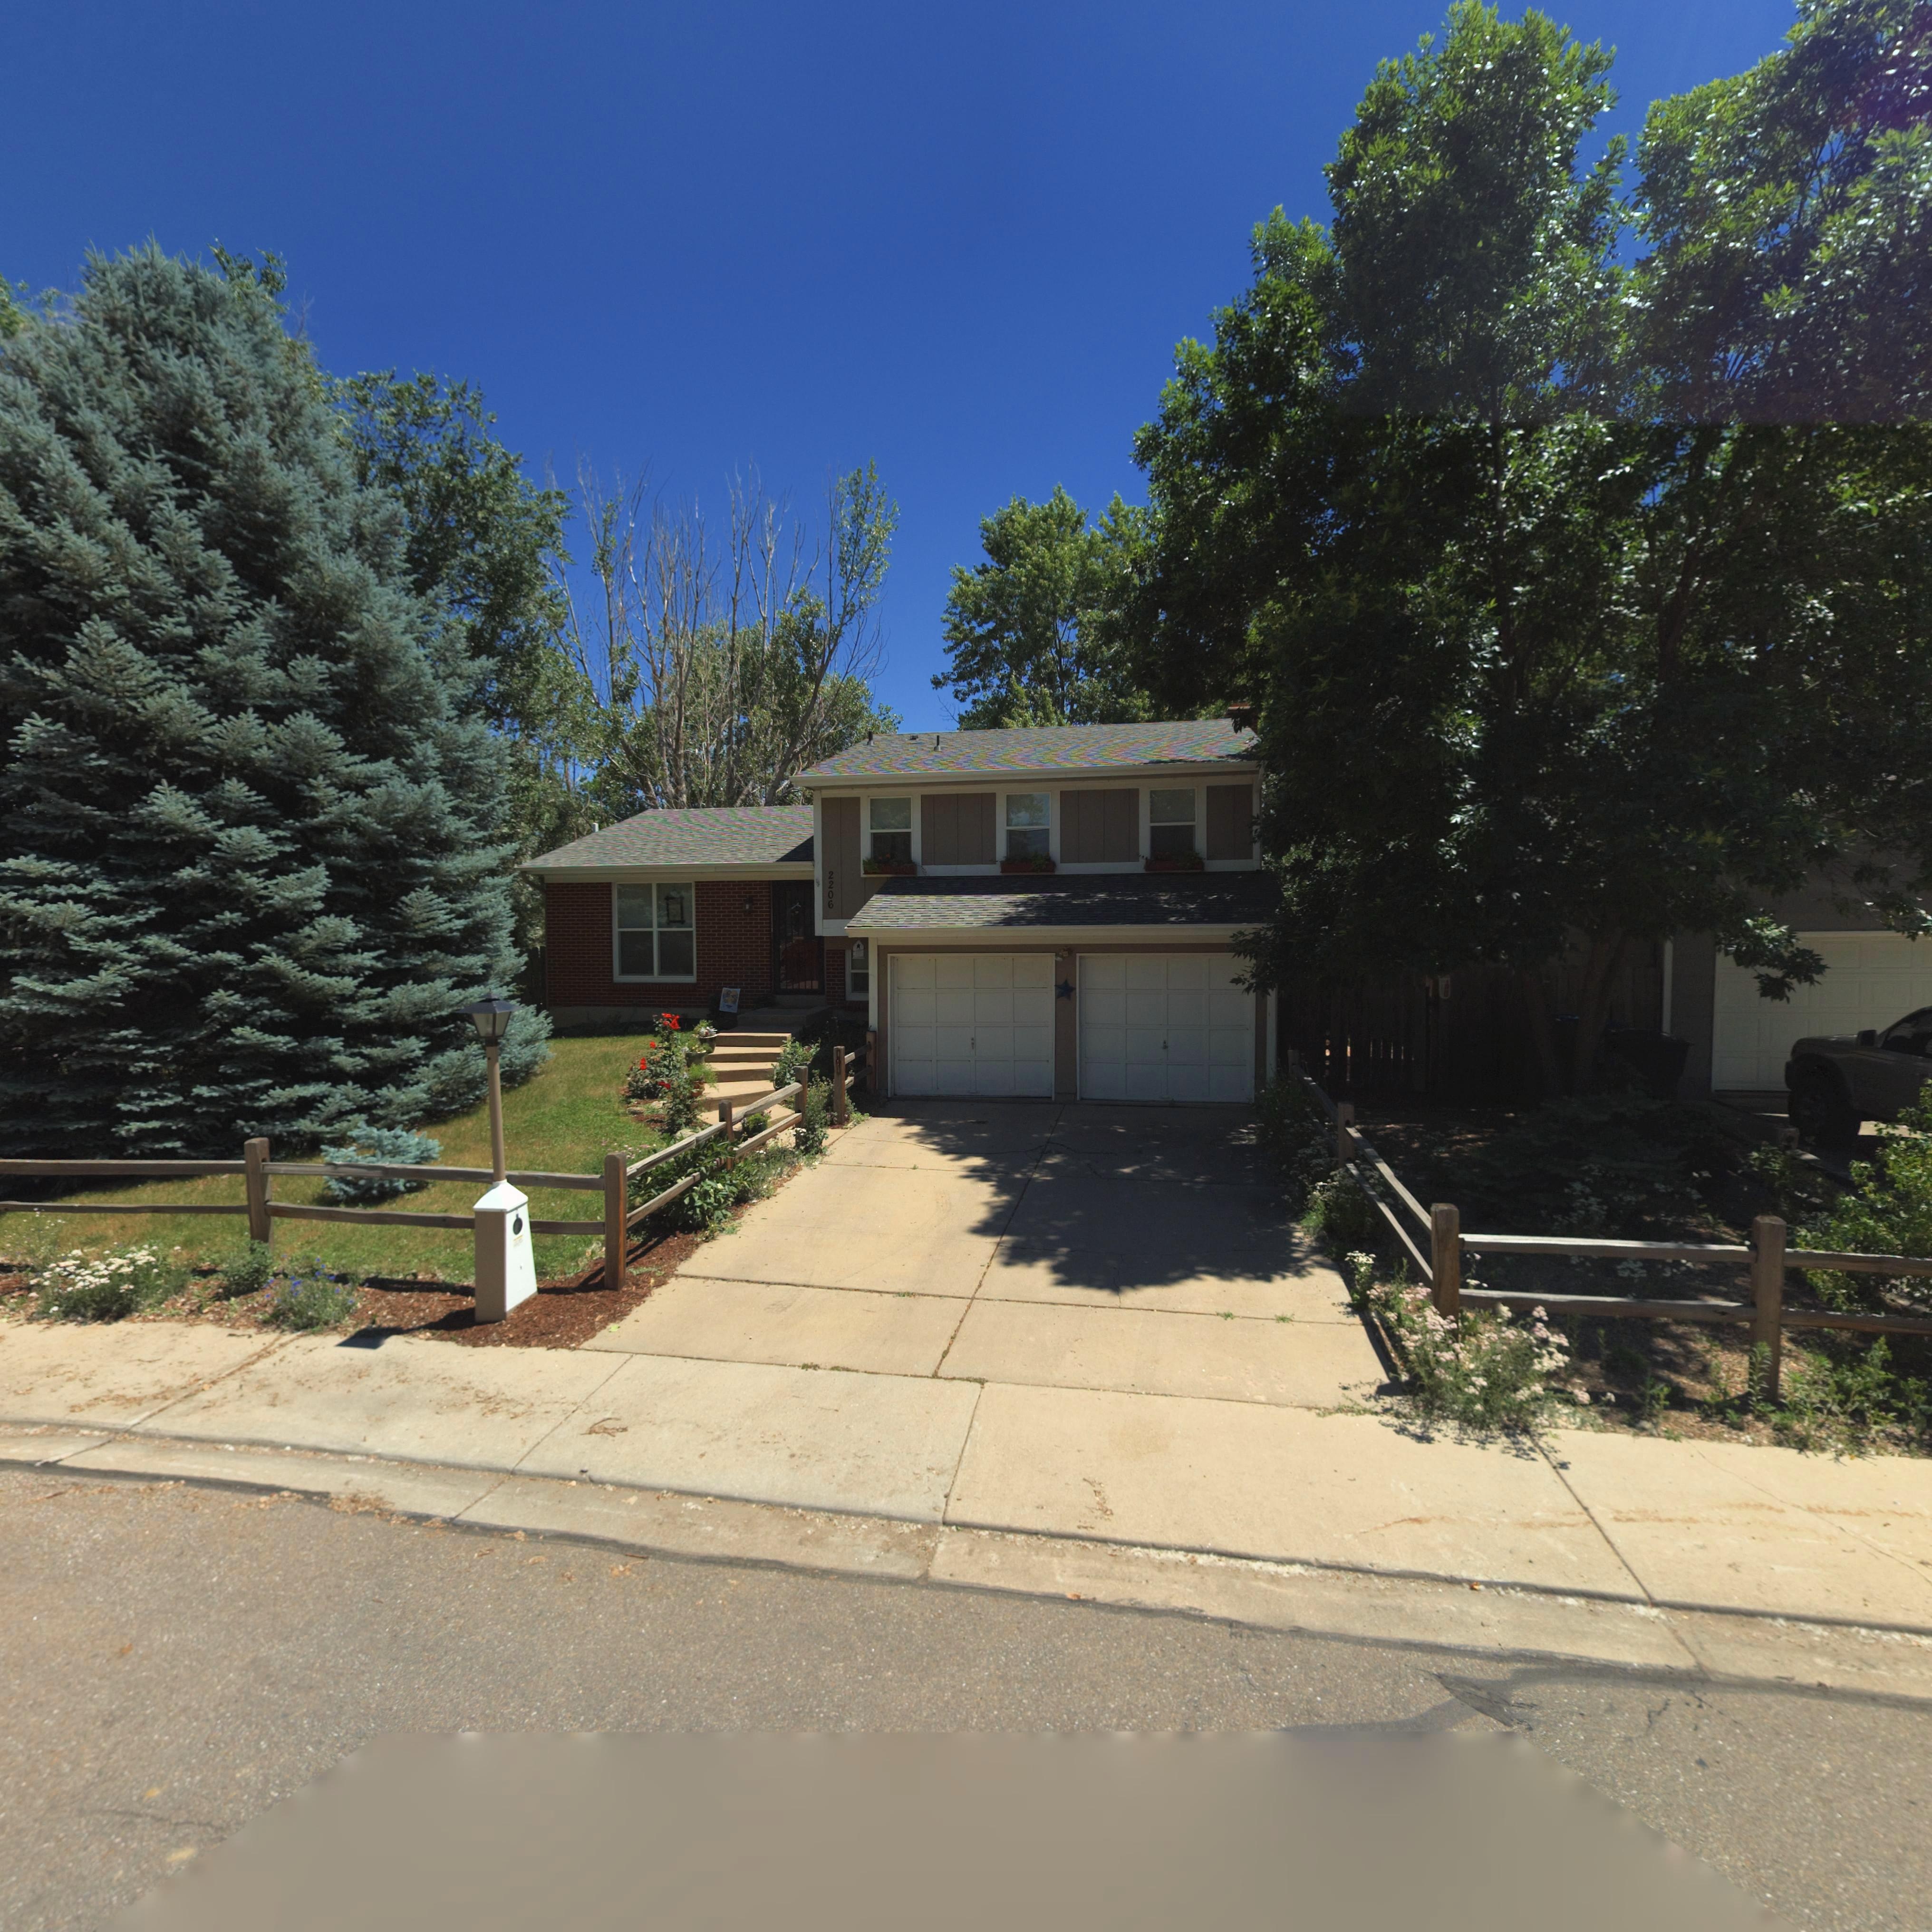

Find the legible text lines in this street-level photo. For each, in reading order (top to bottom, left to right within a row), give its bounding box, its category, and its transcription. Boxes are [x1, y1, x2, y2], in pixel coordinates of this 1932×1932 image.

[827, 870, 834, 908] StreetNumber: 2206